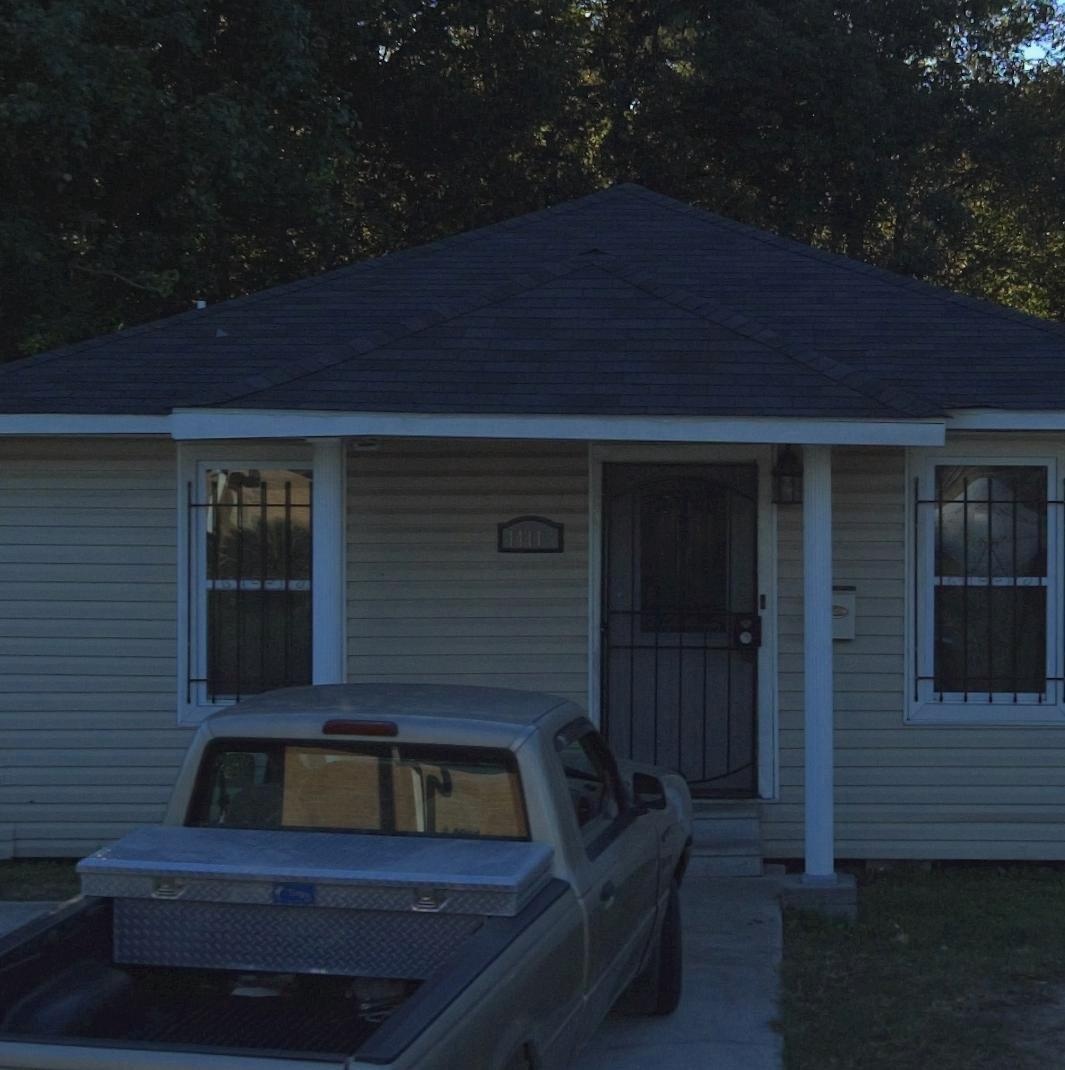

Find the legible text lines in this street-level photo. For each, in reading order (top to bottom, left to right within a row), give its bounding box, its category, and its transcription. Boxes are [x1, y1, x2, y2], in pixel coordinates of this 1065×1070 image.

[506, 527, 544, 550] StreetNumber: 1411